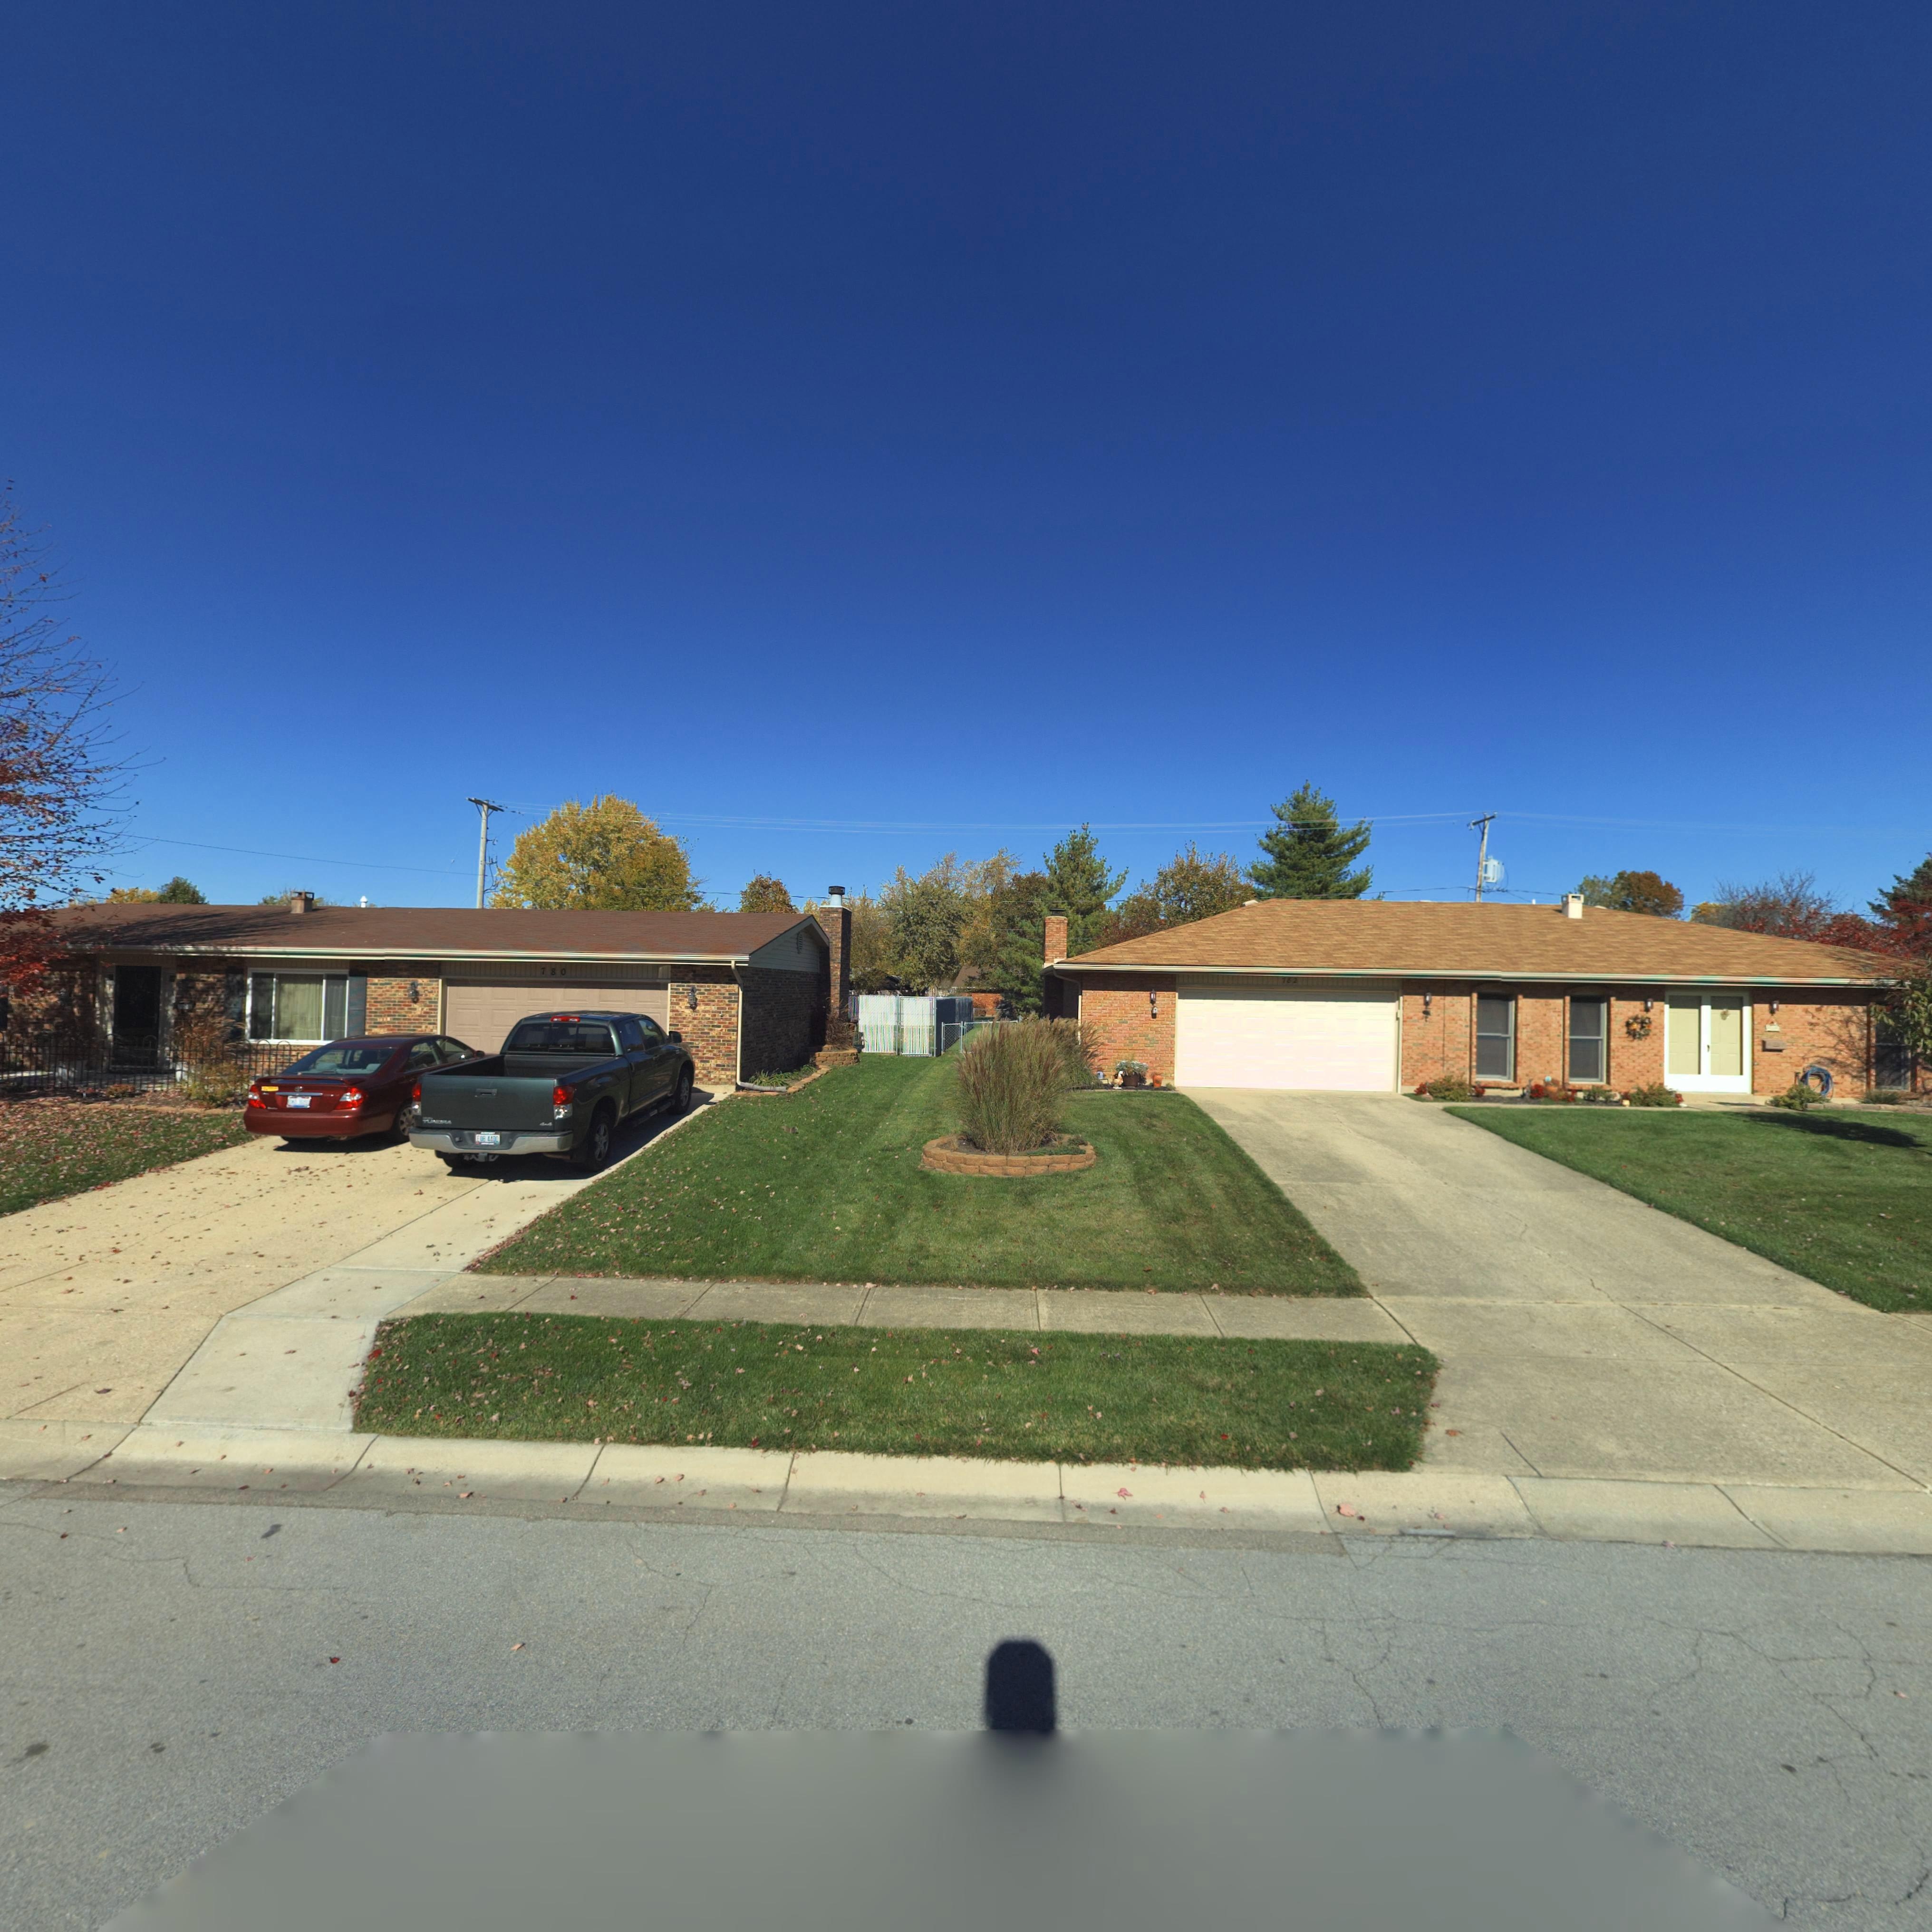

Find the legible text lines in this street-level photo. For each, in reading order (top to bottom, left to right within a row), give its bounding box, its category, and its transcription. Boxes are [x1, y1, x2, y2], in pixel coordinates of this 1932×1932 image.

[540, 967, 566, 976] StreetNumber: 780
[1282, 977, 1298, 984] StreetNumber: 782